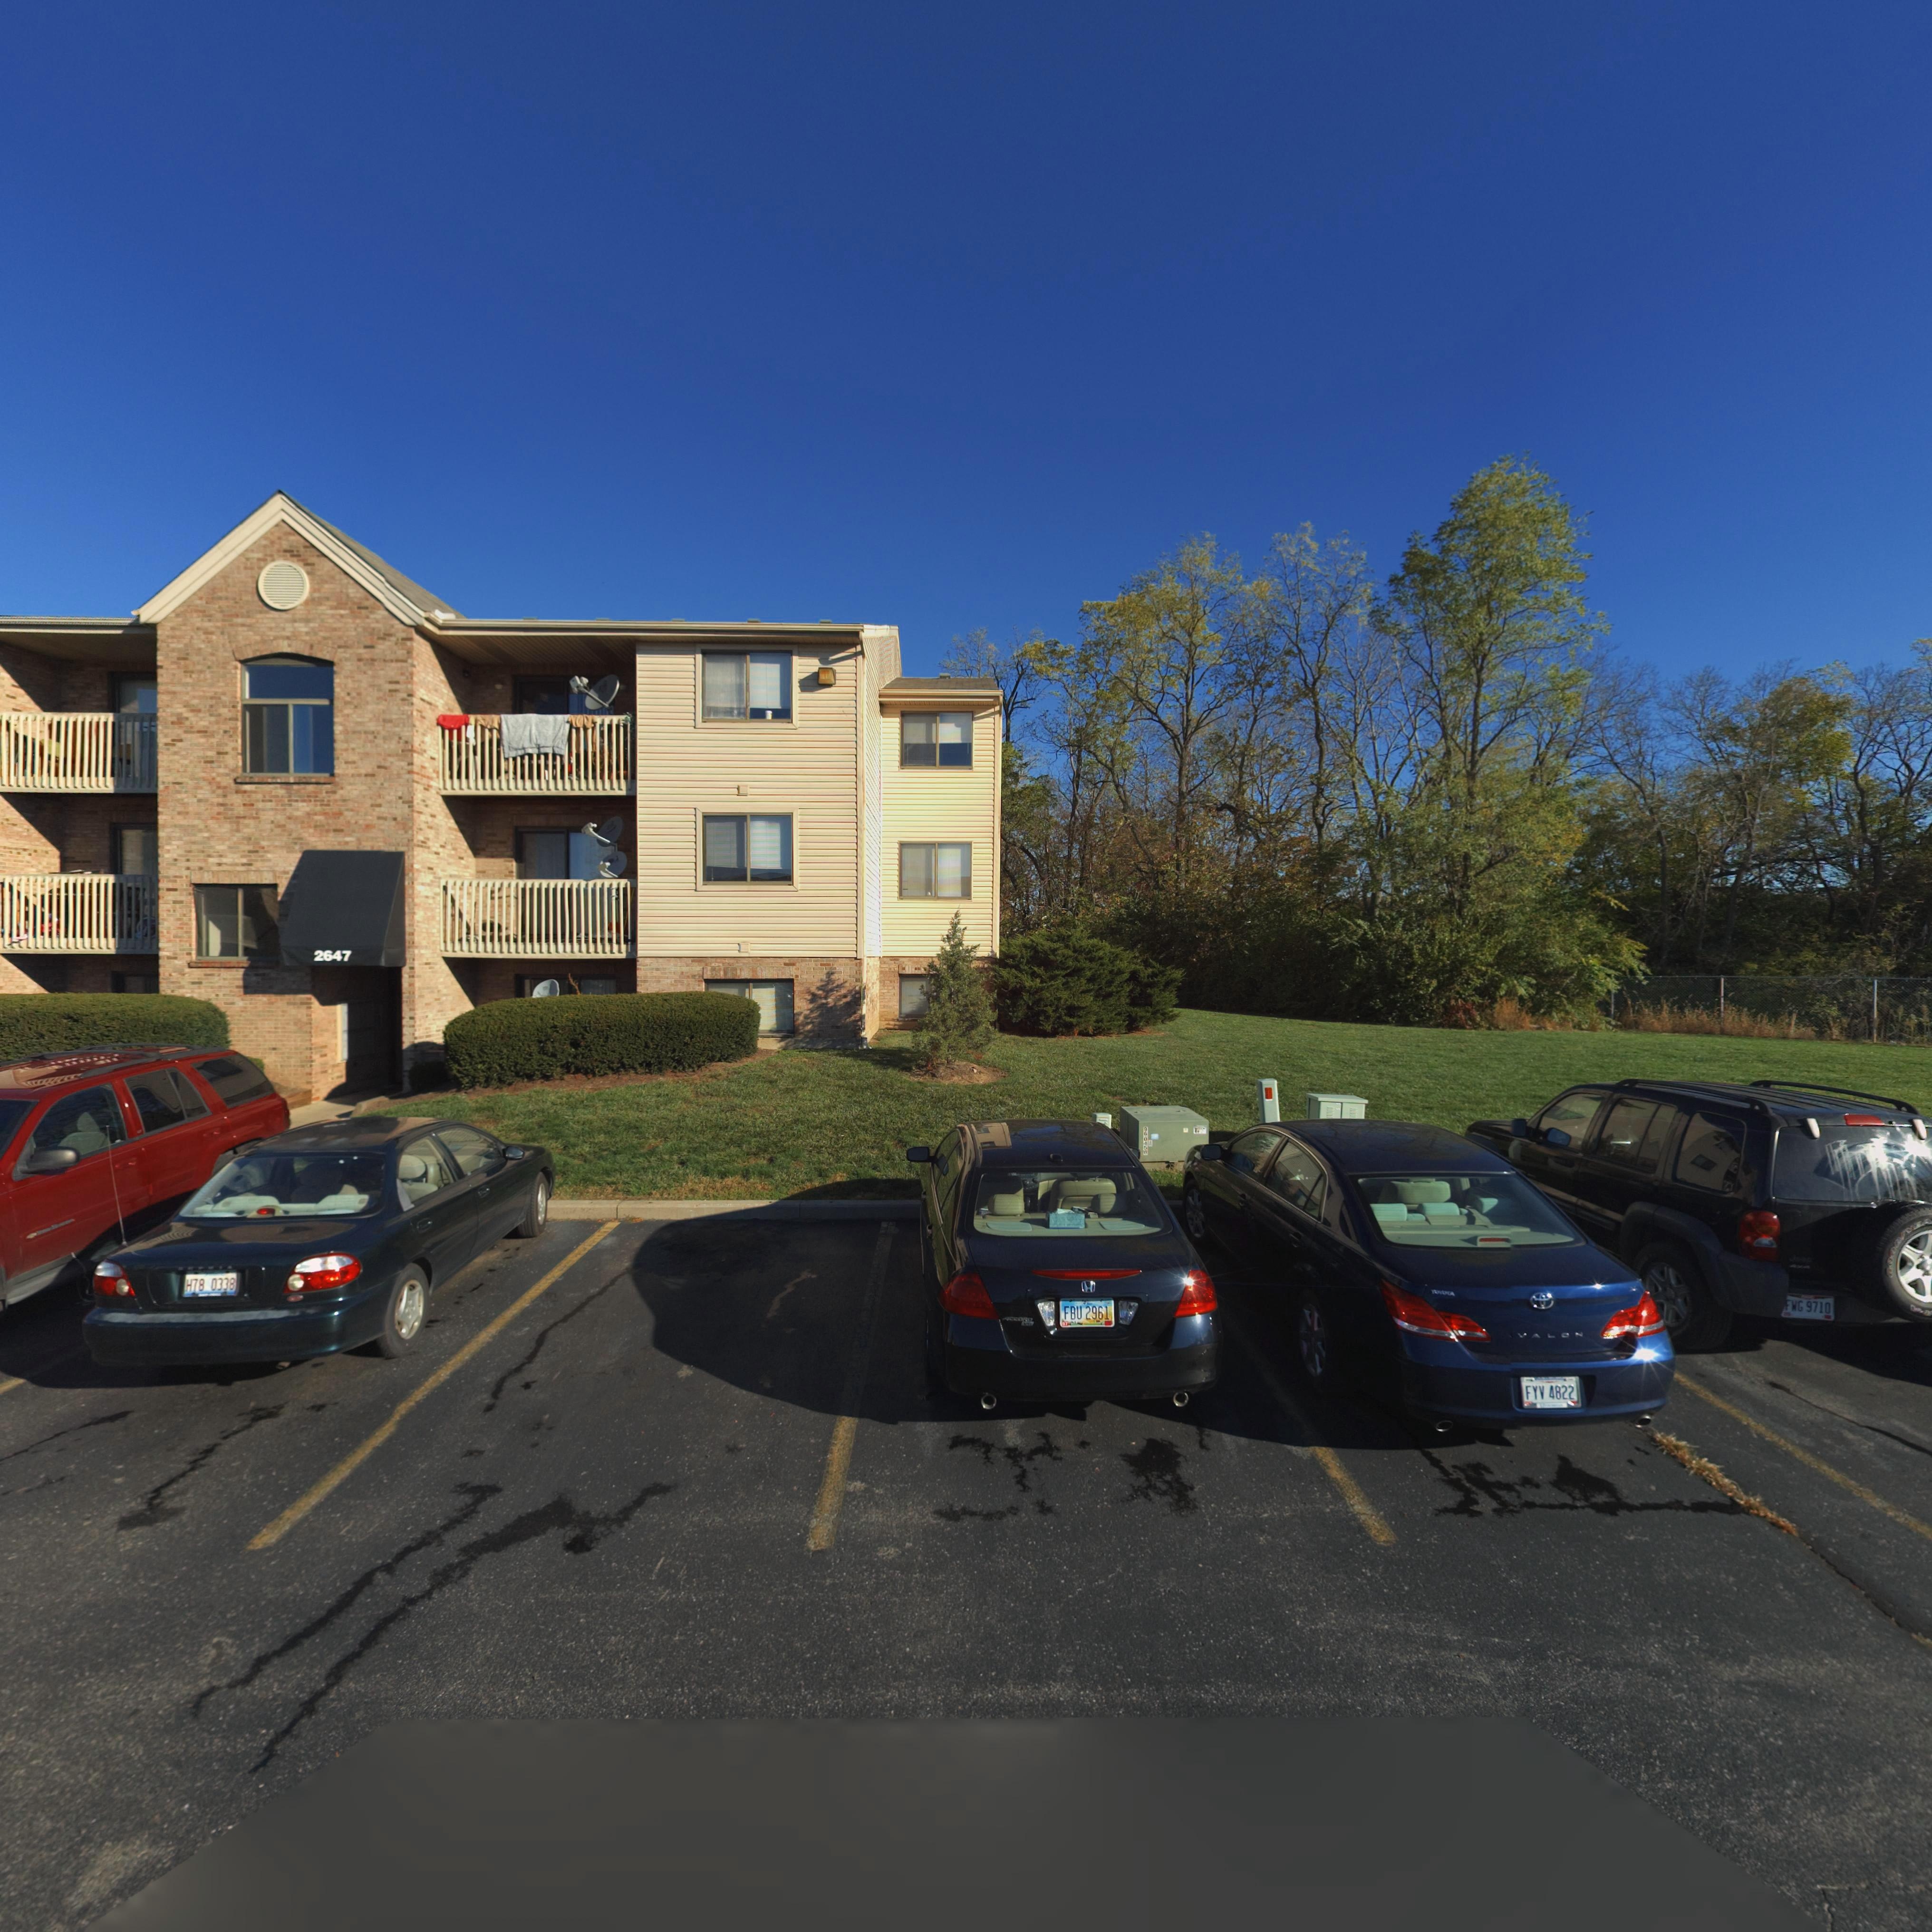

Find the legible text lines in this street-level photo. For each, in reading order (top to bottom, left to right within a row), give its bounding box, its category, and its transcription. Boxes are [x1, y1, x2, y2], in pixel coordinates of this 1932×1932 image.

[312, 948, 354, 963] StreetNumber: 2647